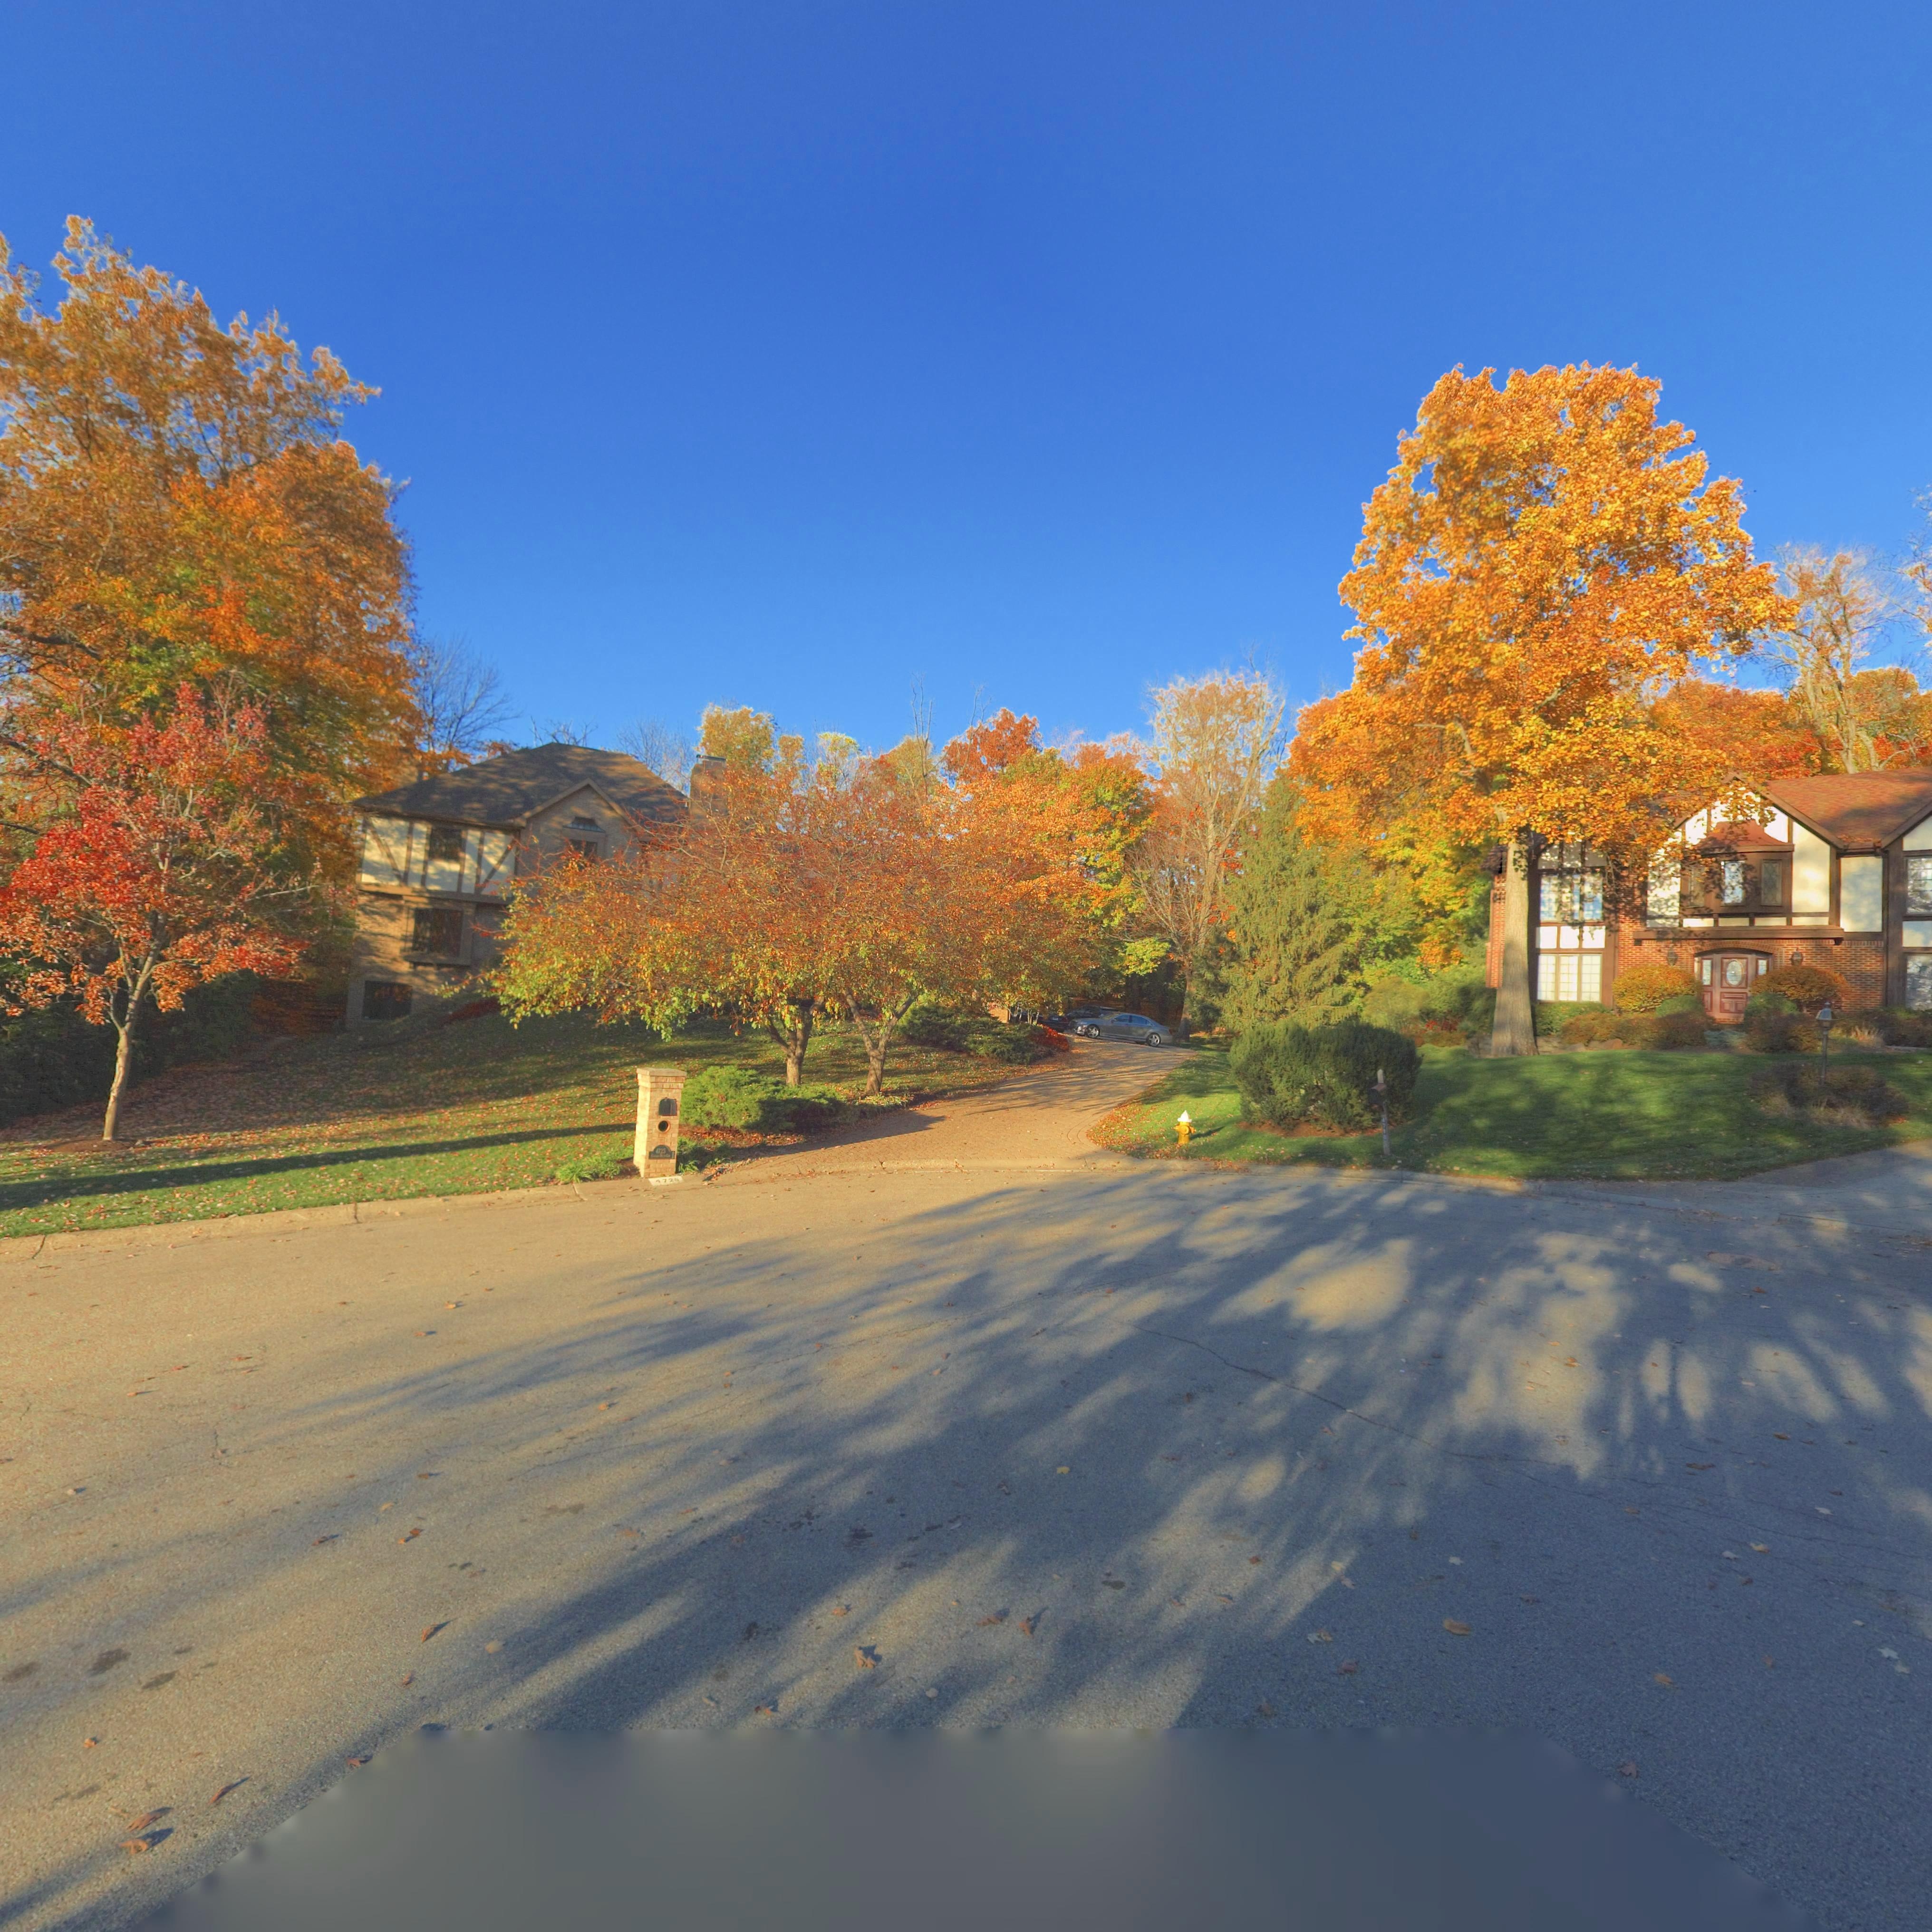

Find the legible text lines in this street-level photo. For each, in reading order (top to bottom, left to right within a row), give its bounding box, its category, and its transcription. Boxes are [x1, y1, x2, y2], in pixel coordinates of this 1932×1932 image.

[1381, 1117, 1388, 1140] StreetNumber: *71*
[655, 1148, 667, 1154] StreetNumber: 4725
[654, 1176, 680, 1185] StreetNumber: *72*